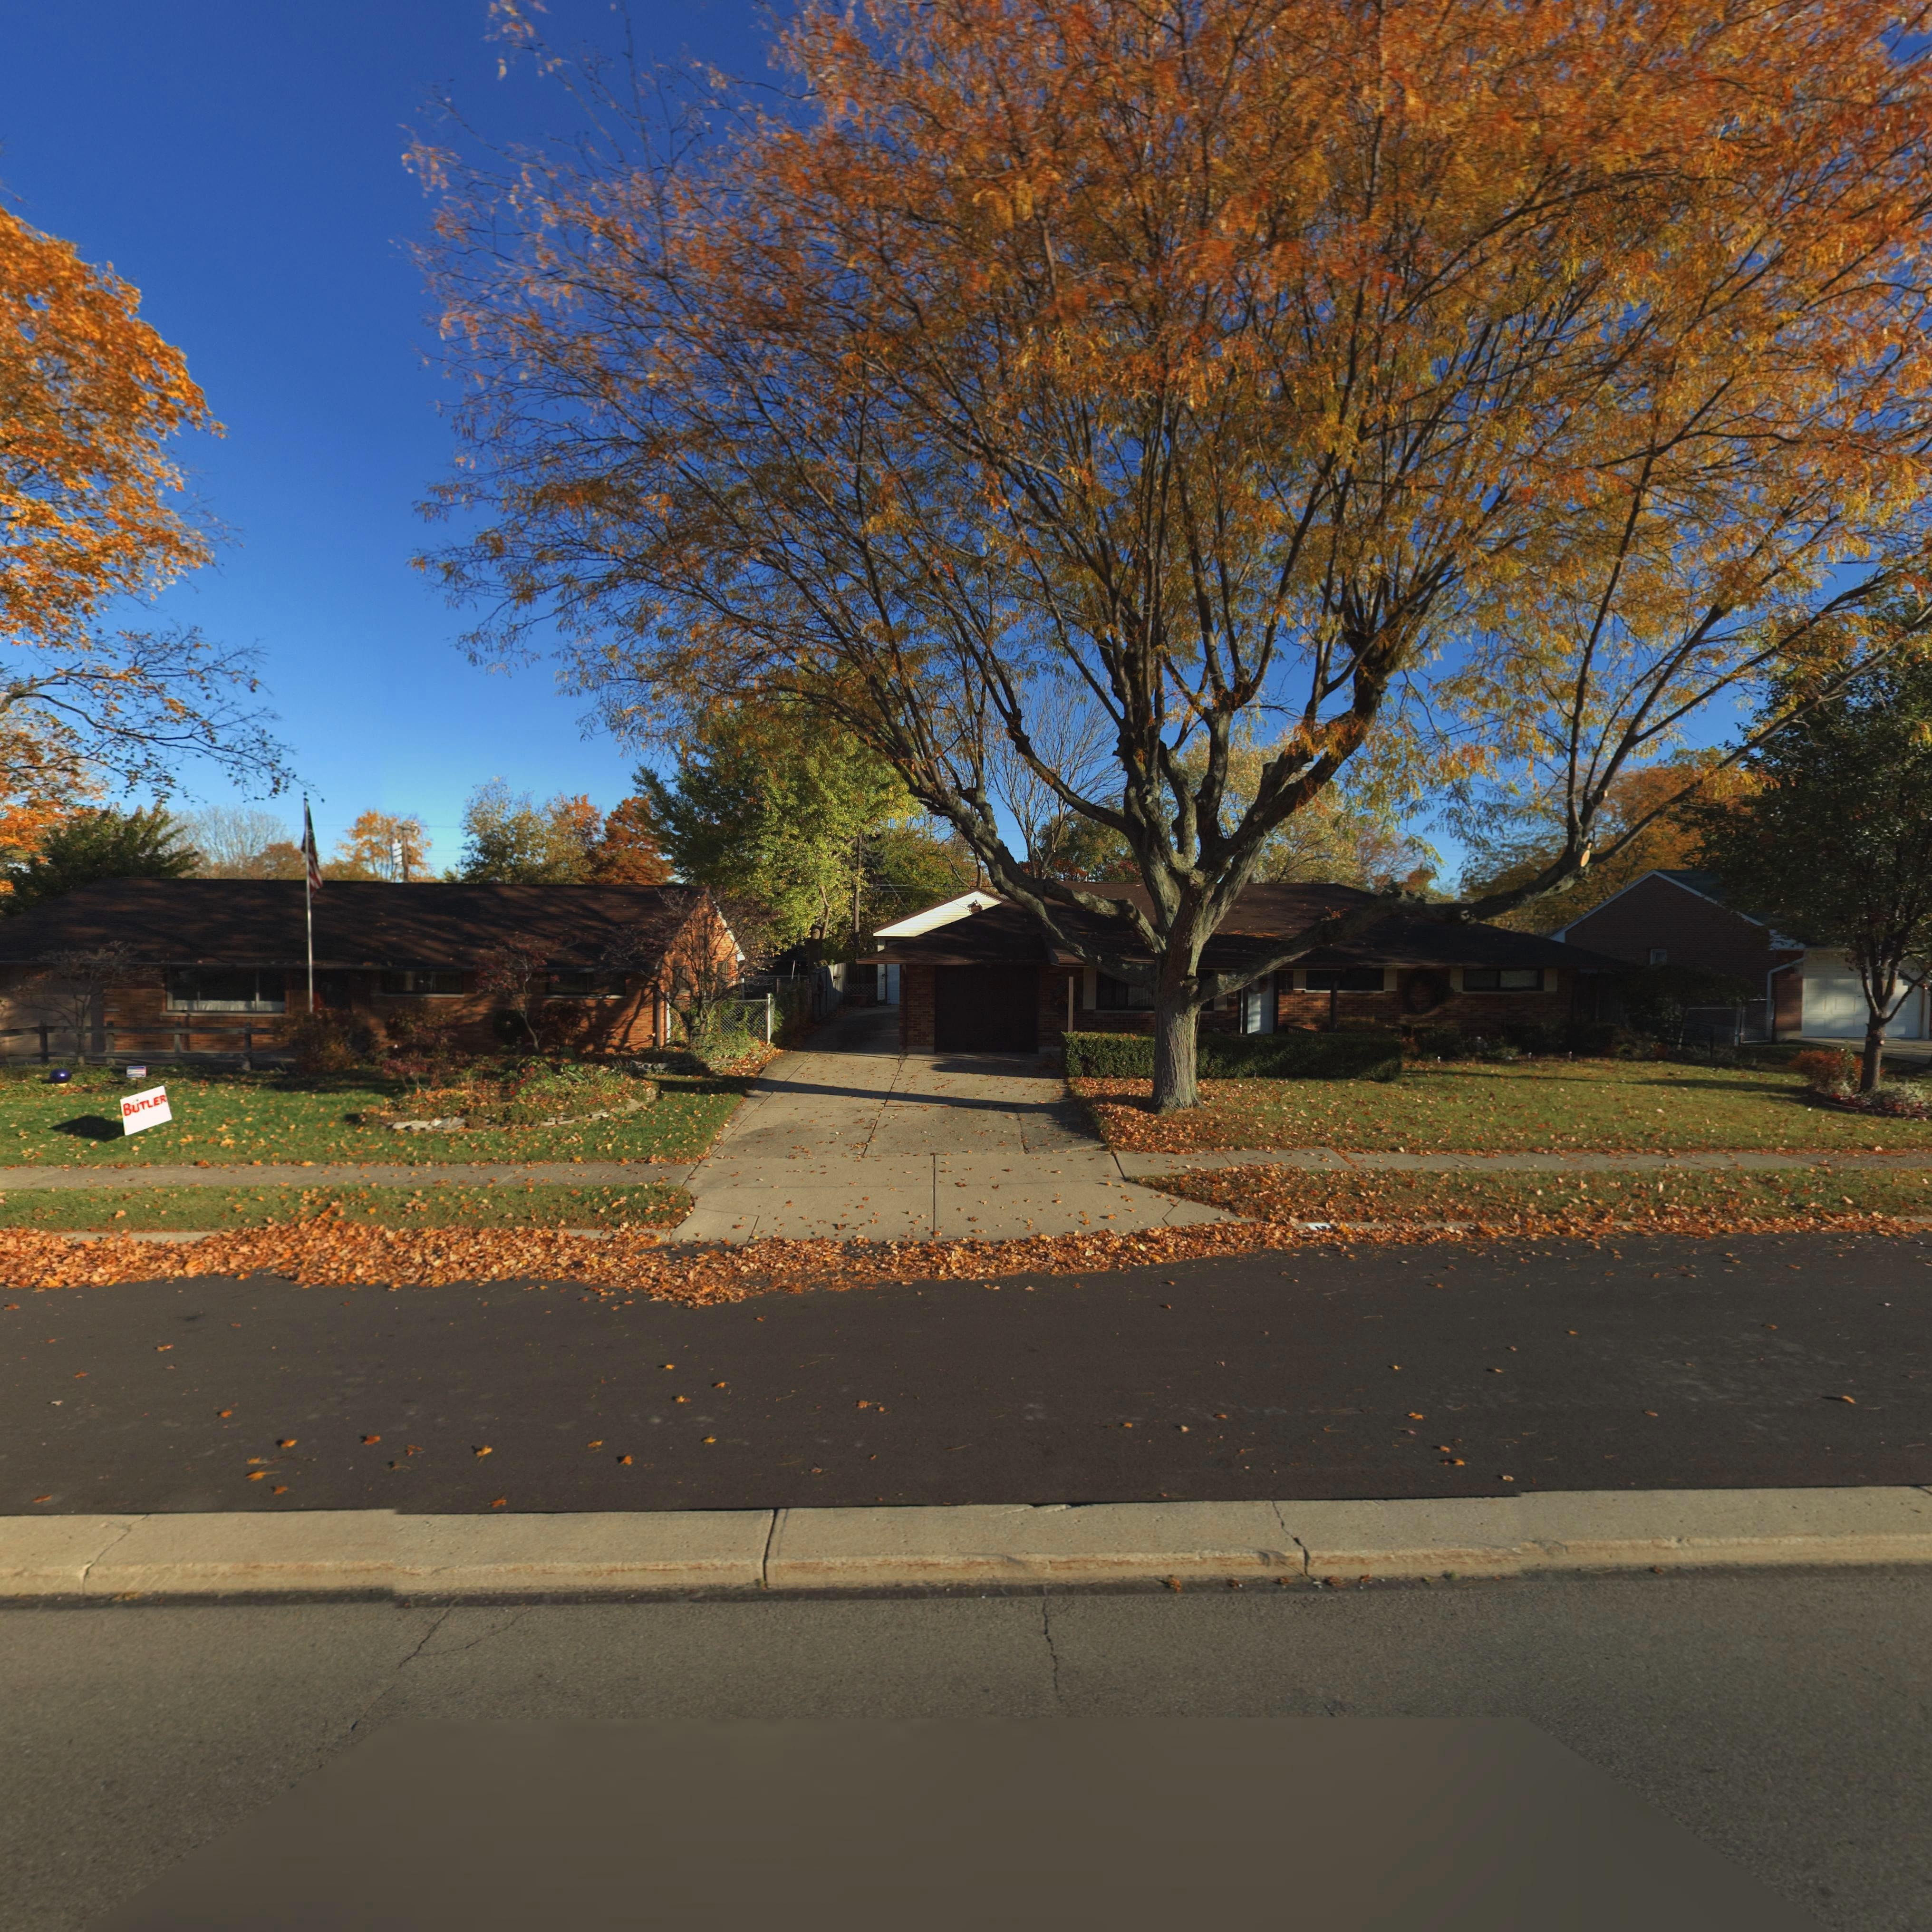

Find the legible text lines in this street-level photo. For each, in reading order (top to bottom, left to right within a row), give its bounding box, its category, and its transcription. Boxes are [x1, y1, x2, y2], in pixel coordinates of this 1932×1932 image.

[1284, 973, 1289, 995] StreetNumber: **1*
[122, 1093, 167, 1118] None: BUTLER